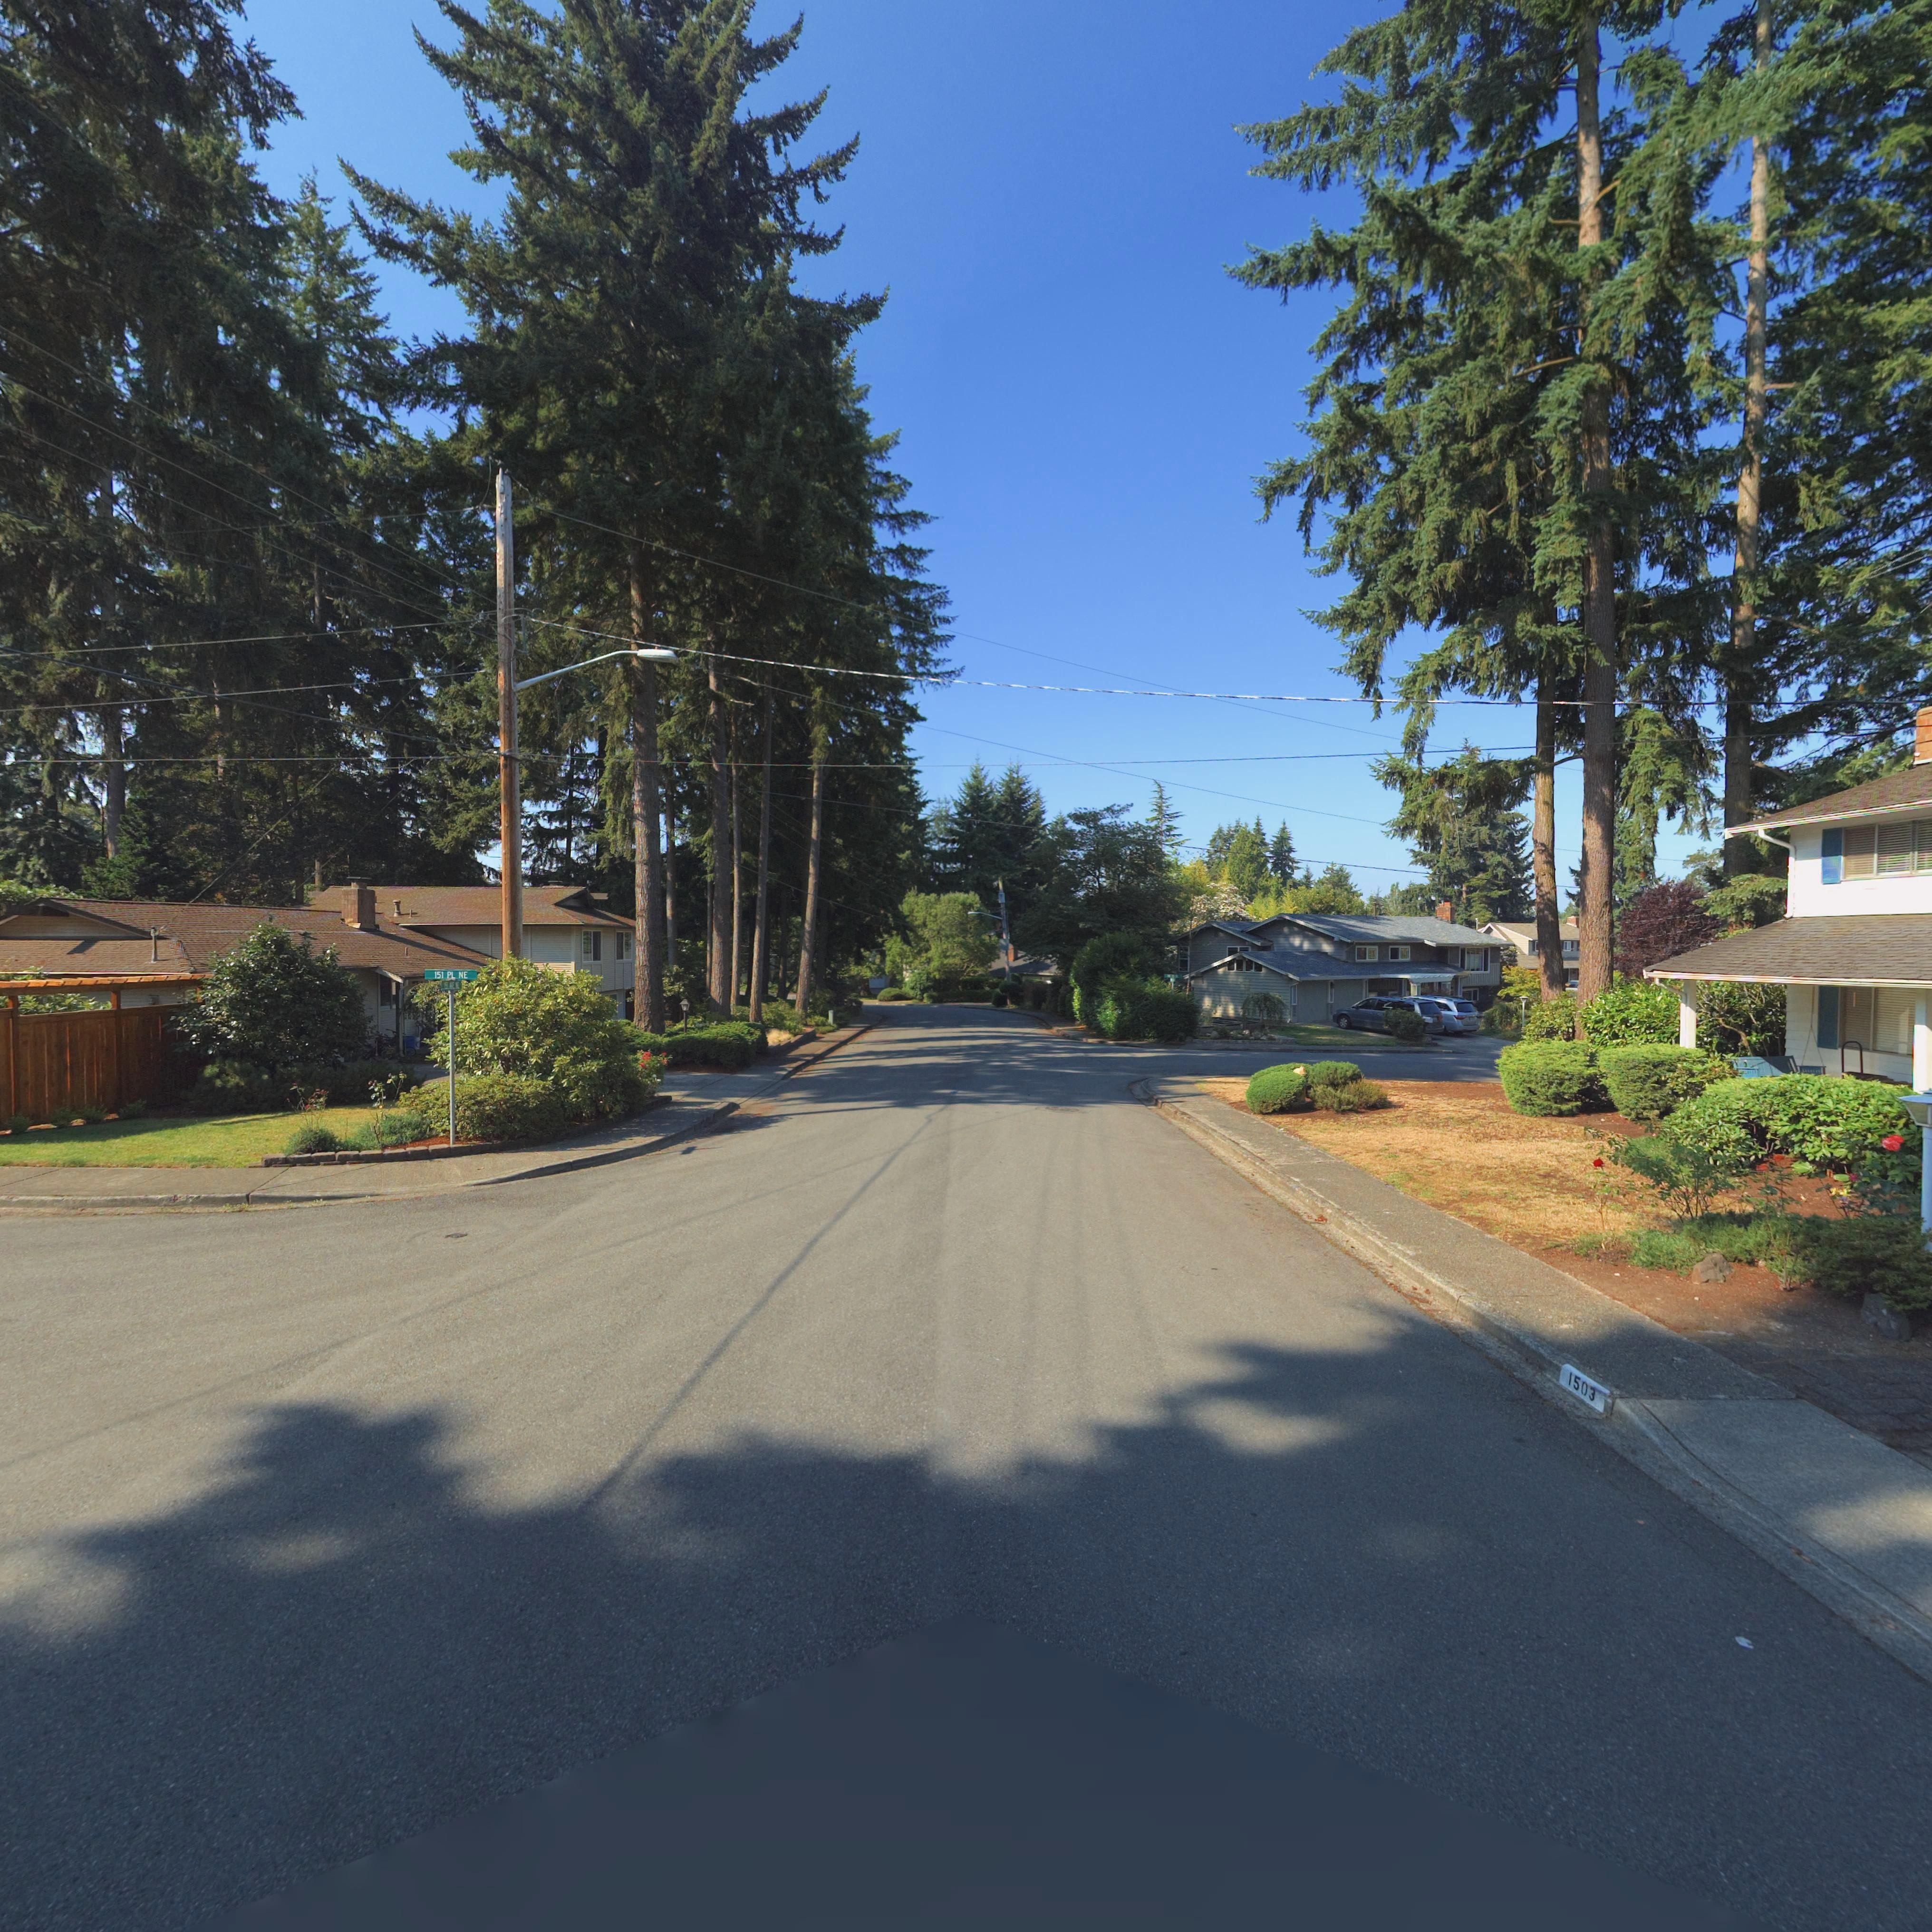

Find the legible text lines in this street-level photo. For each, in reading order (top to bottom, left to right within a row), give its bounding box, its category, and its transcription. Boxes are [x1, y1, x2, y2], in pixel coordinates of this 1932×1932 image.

[434, 970, 468, 979] StreetName: 151 PL NE
[1568, 1372, 1596, 1402] StreetNumber: 1503